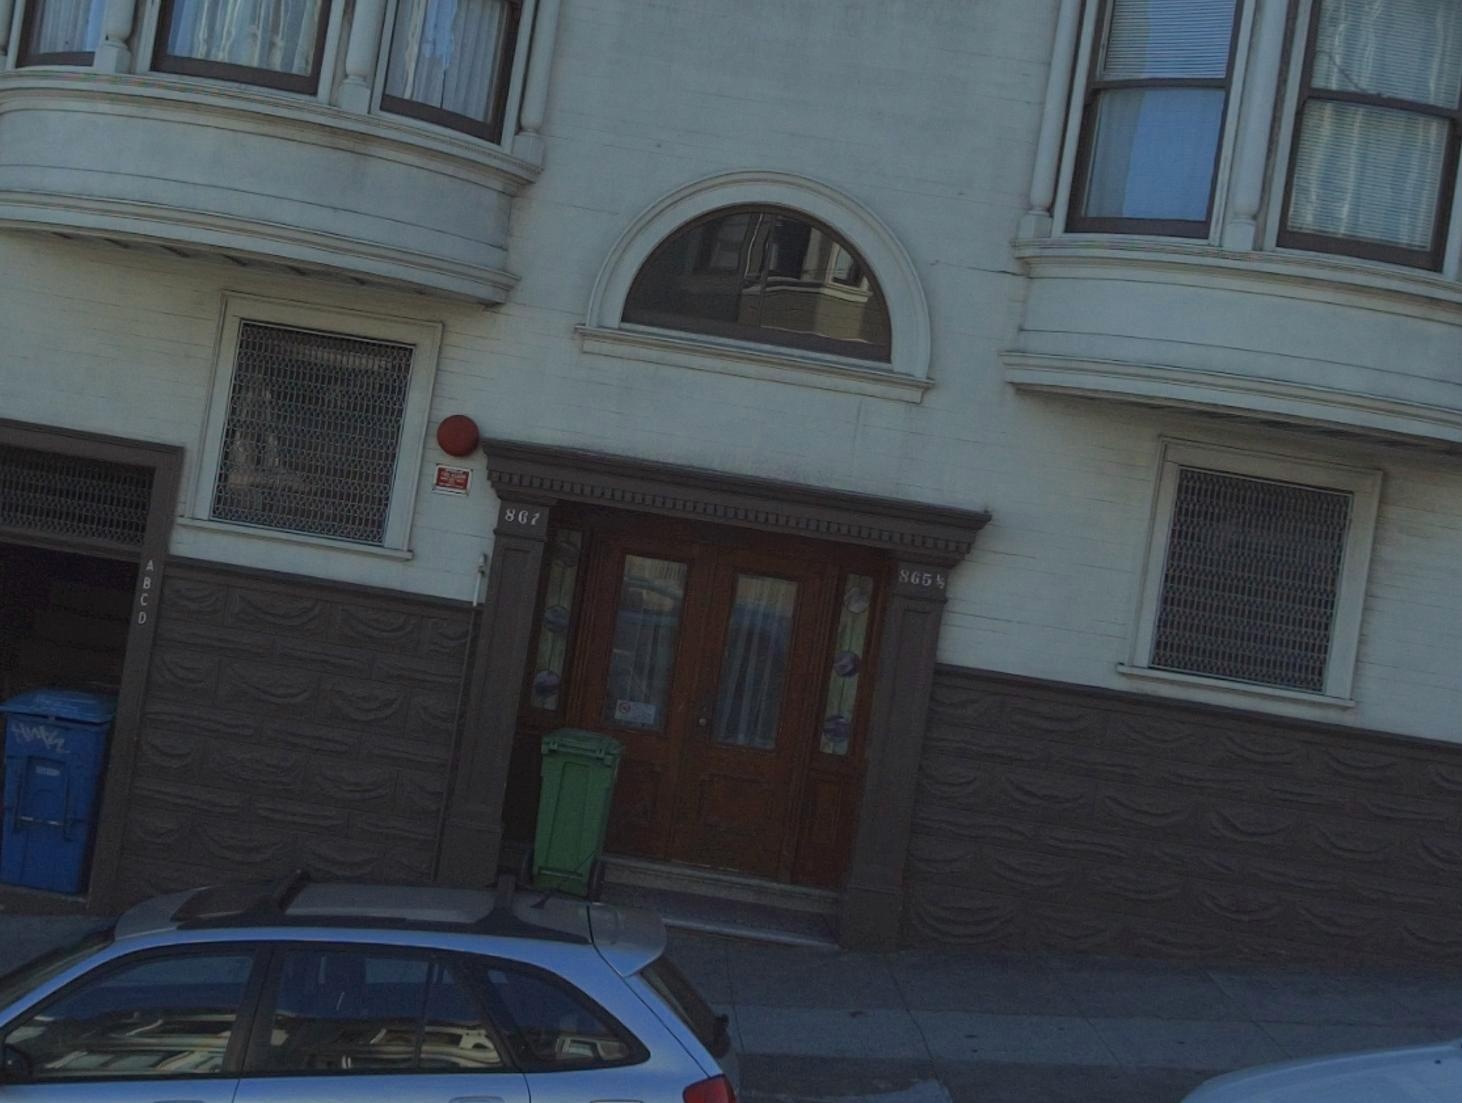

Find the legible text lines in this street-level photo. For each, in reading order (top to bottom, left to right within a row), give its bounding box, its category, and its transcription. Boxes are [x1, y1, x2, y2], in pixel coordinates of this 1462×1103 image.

[503, 505, 544, 527] StreetNumber: 861
[897, 567, 948, 591] StreetNumber: 865 1/2